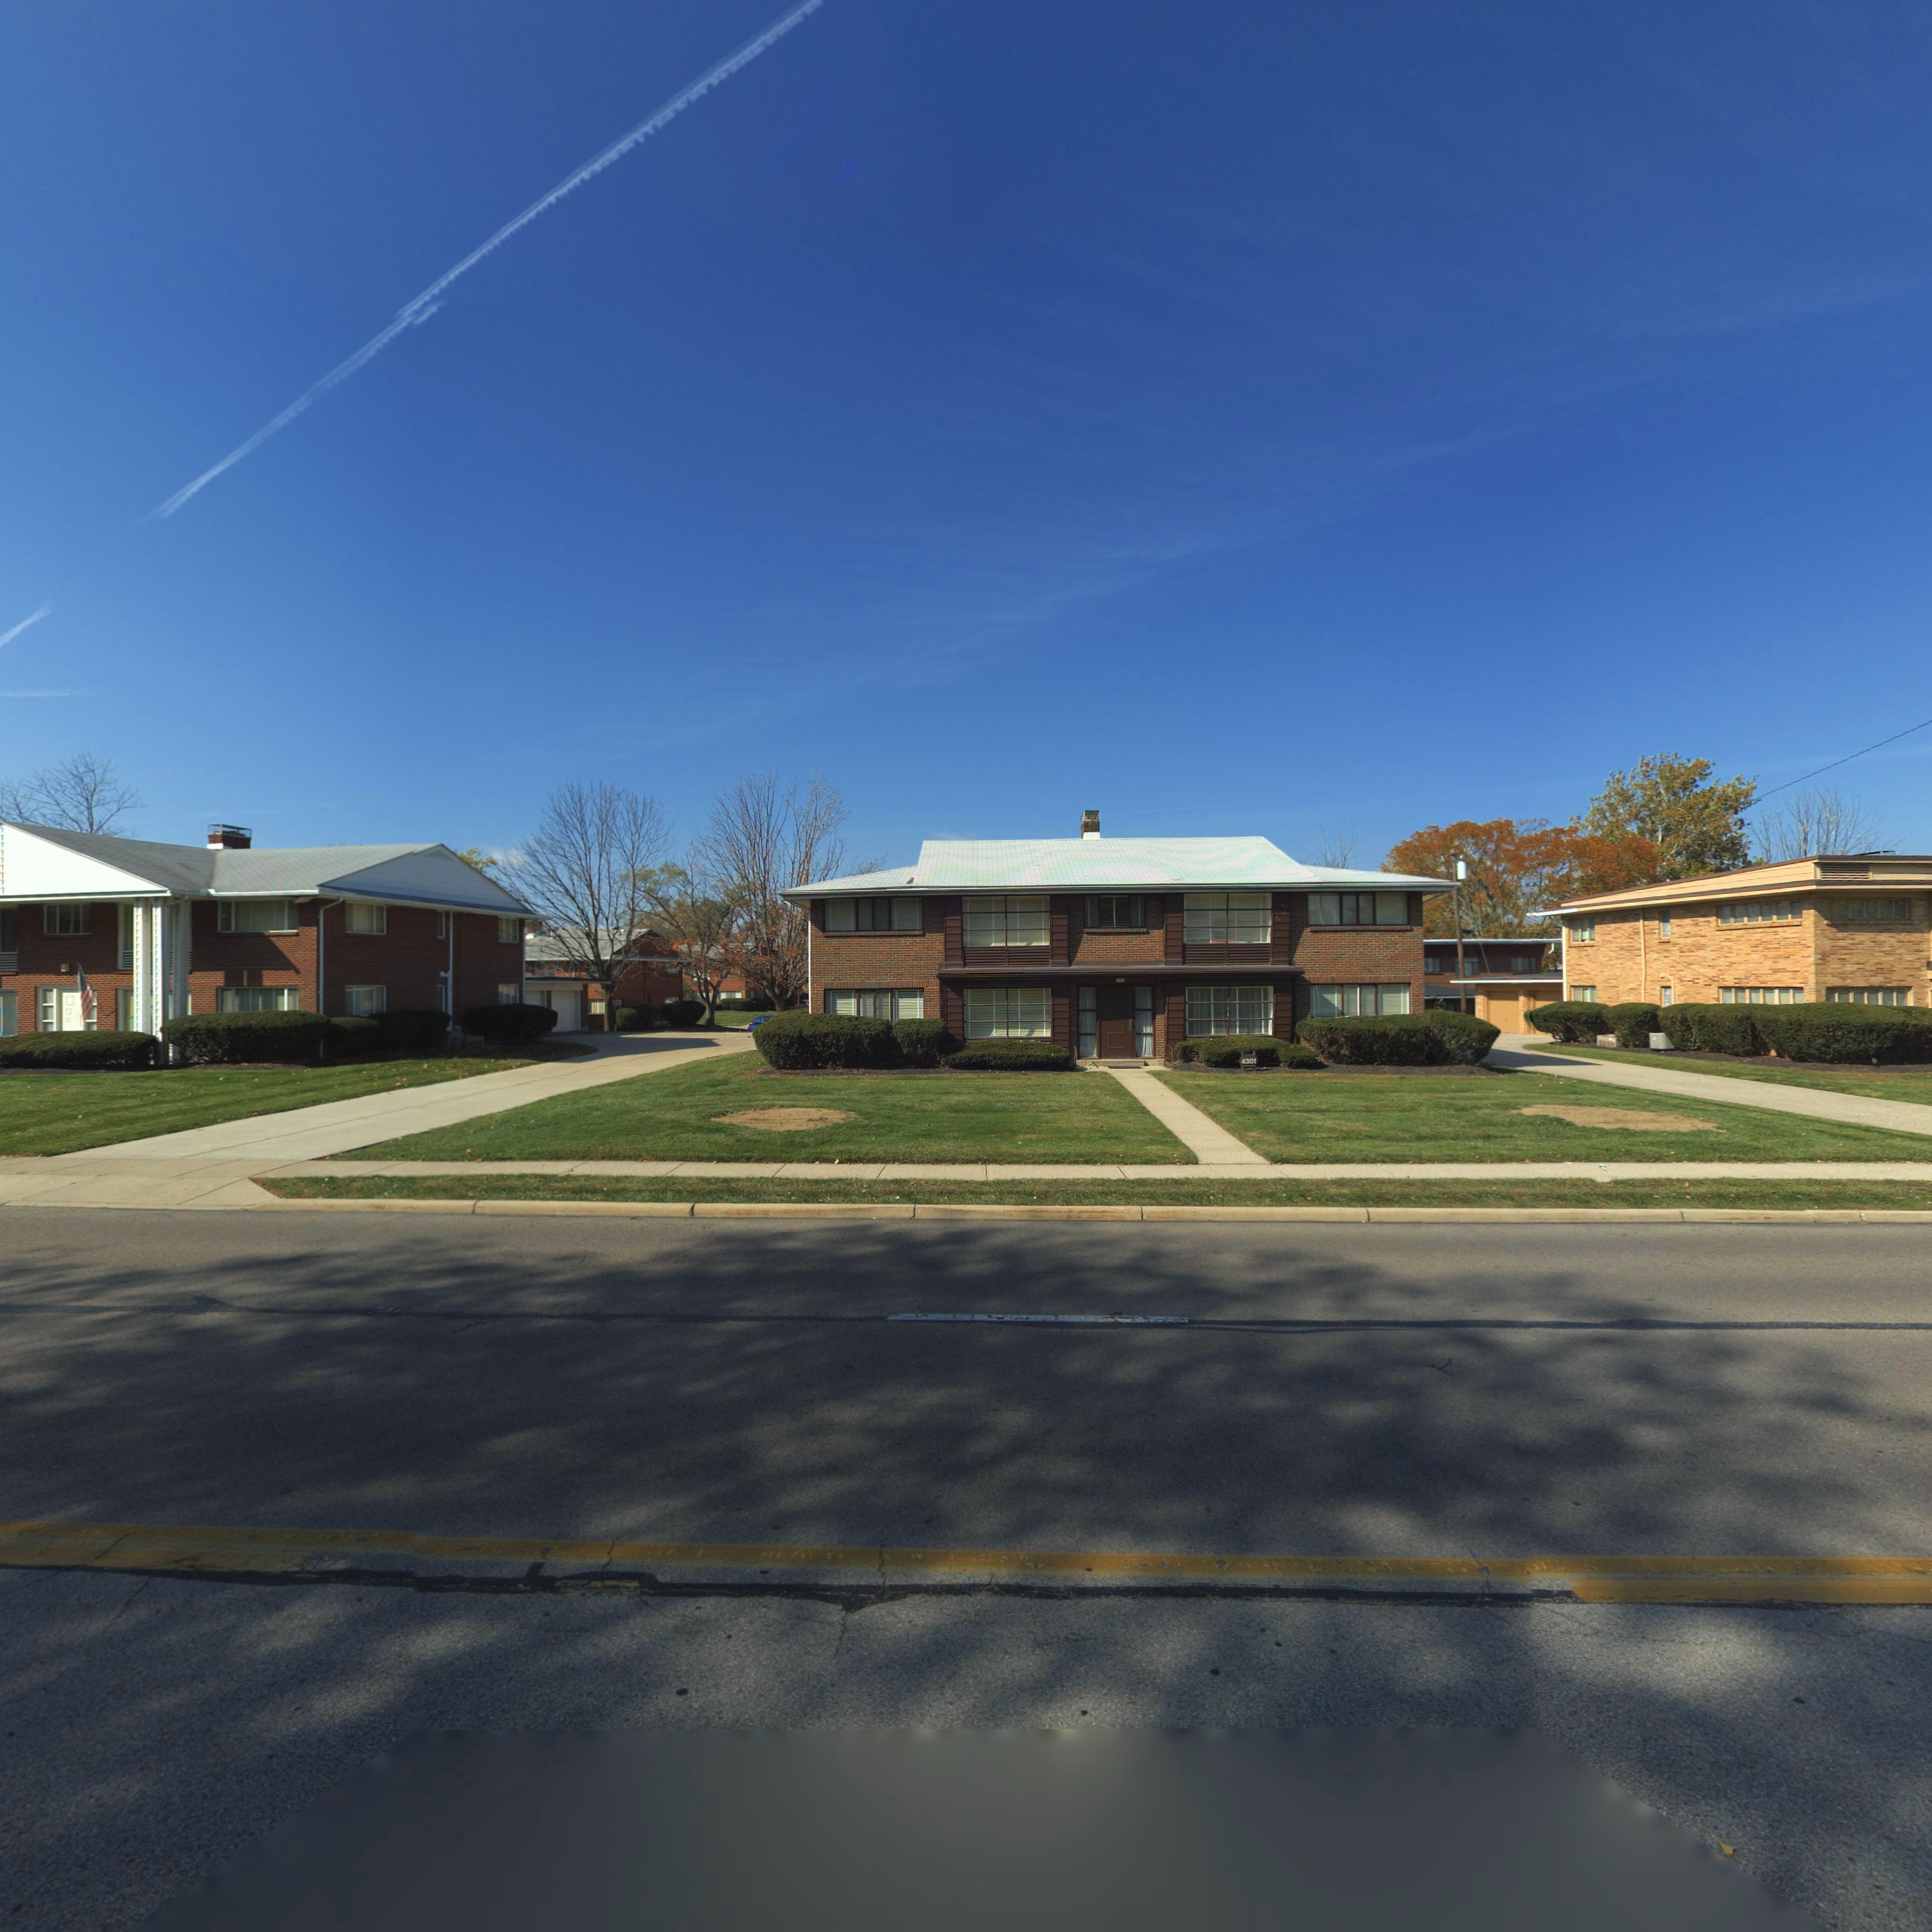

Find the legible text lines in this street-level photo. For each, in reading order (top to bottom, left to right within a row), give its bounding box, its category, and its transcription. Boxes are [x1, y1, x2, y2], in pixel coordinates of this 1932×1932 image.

[1240, 1057, 1257, 1065] StreetNumber: 4301